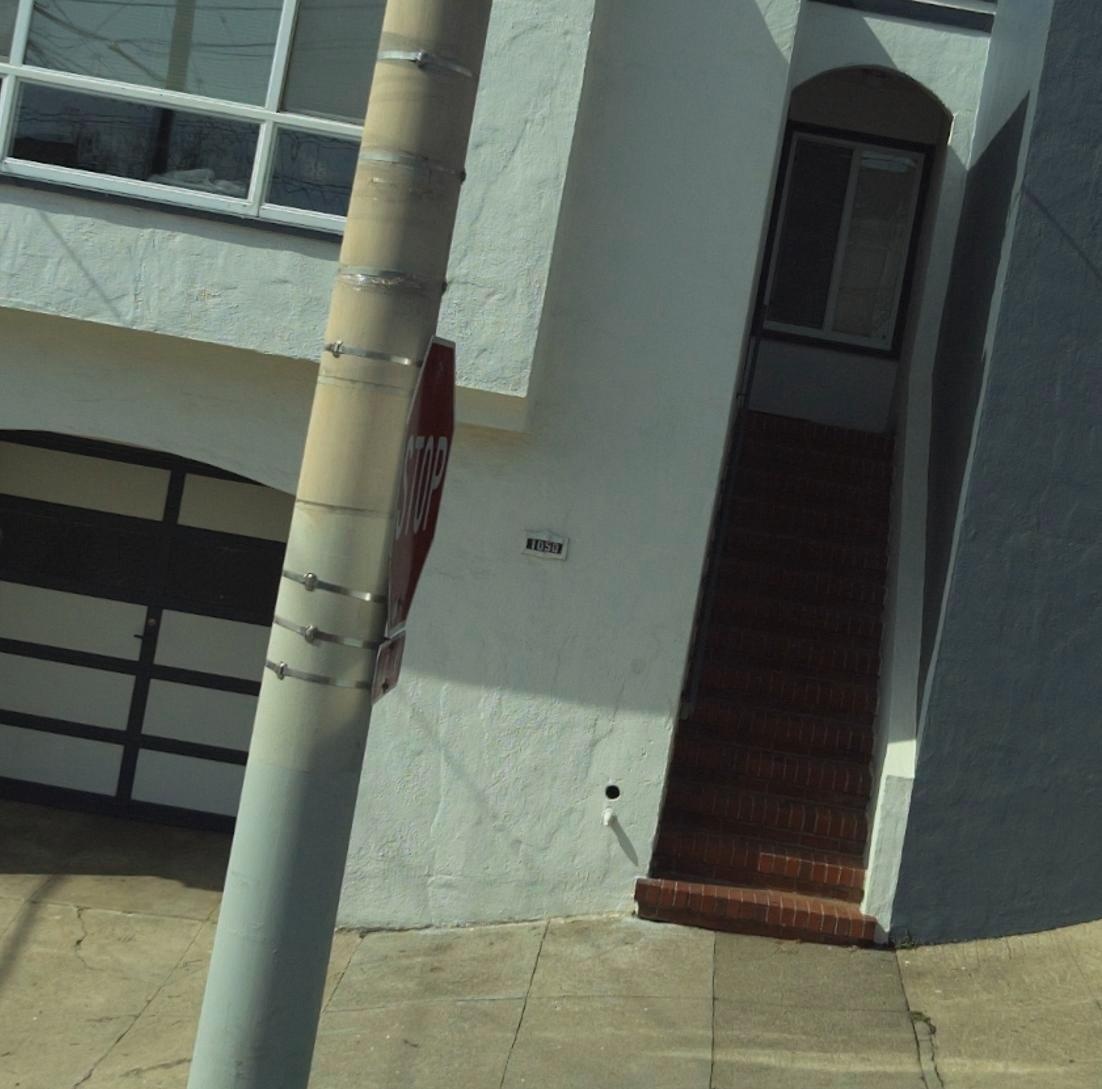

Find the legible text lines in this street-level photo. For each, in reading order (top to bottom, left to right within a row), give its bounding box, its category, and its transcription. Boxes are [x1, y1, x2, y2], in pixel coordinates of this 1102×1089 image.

[393, 432, 450, 544] None: STOP
[530, 536, 561, 555] StreetNumber: 1050